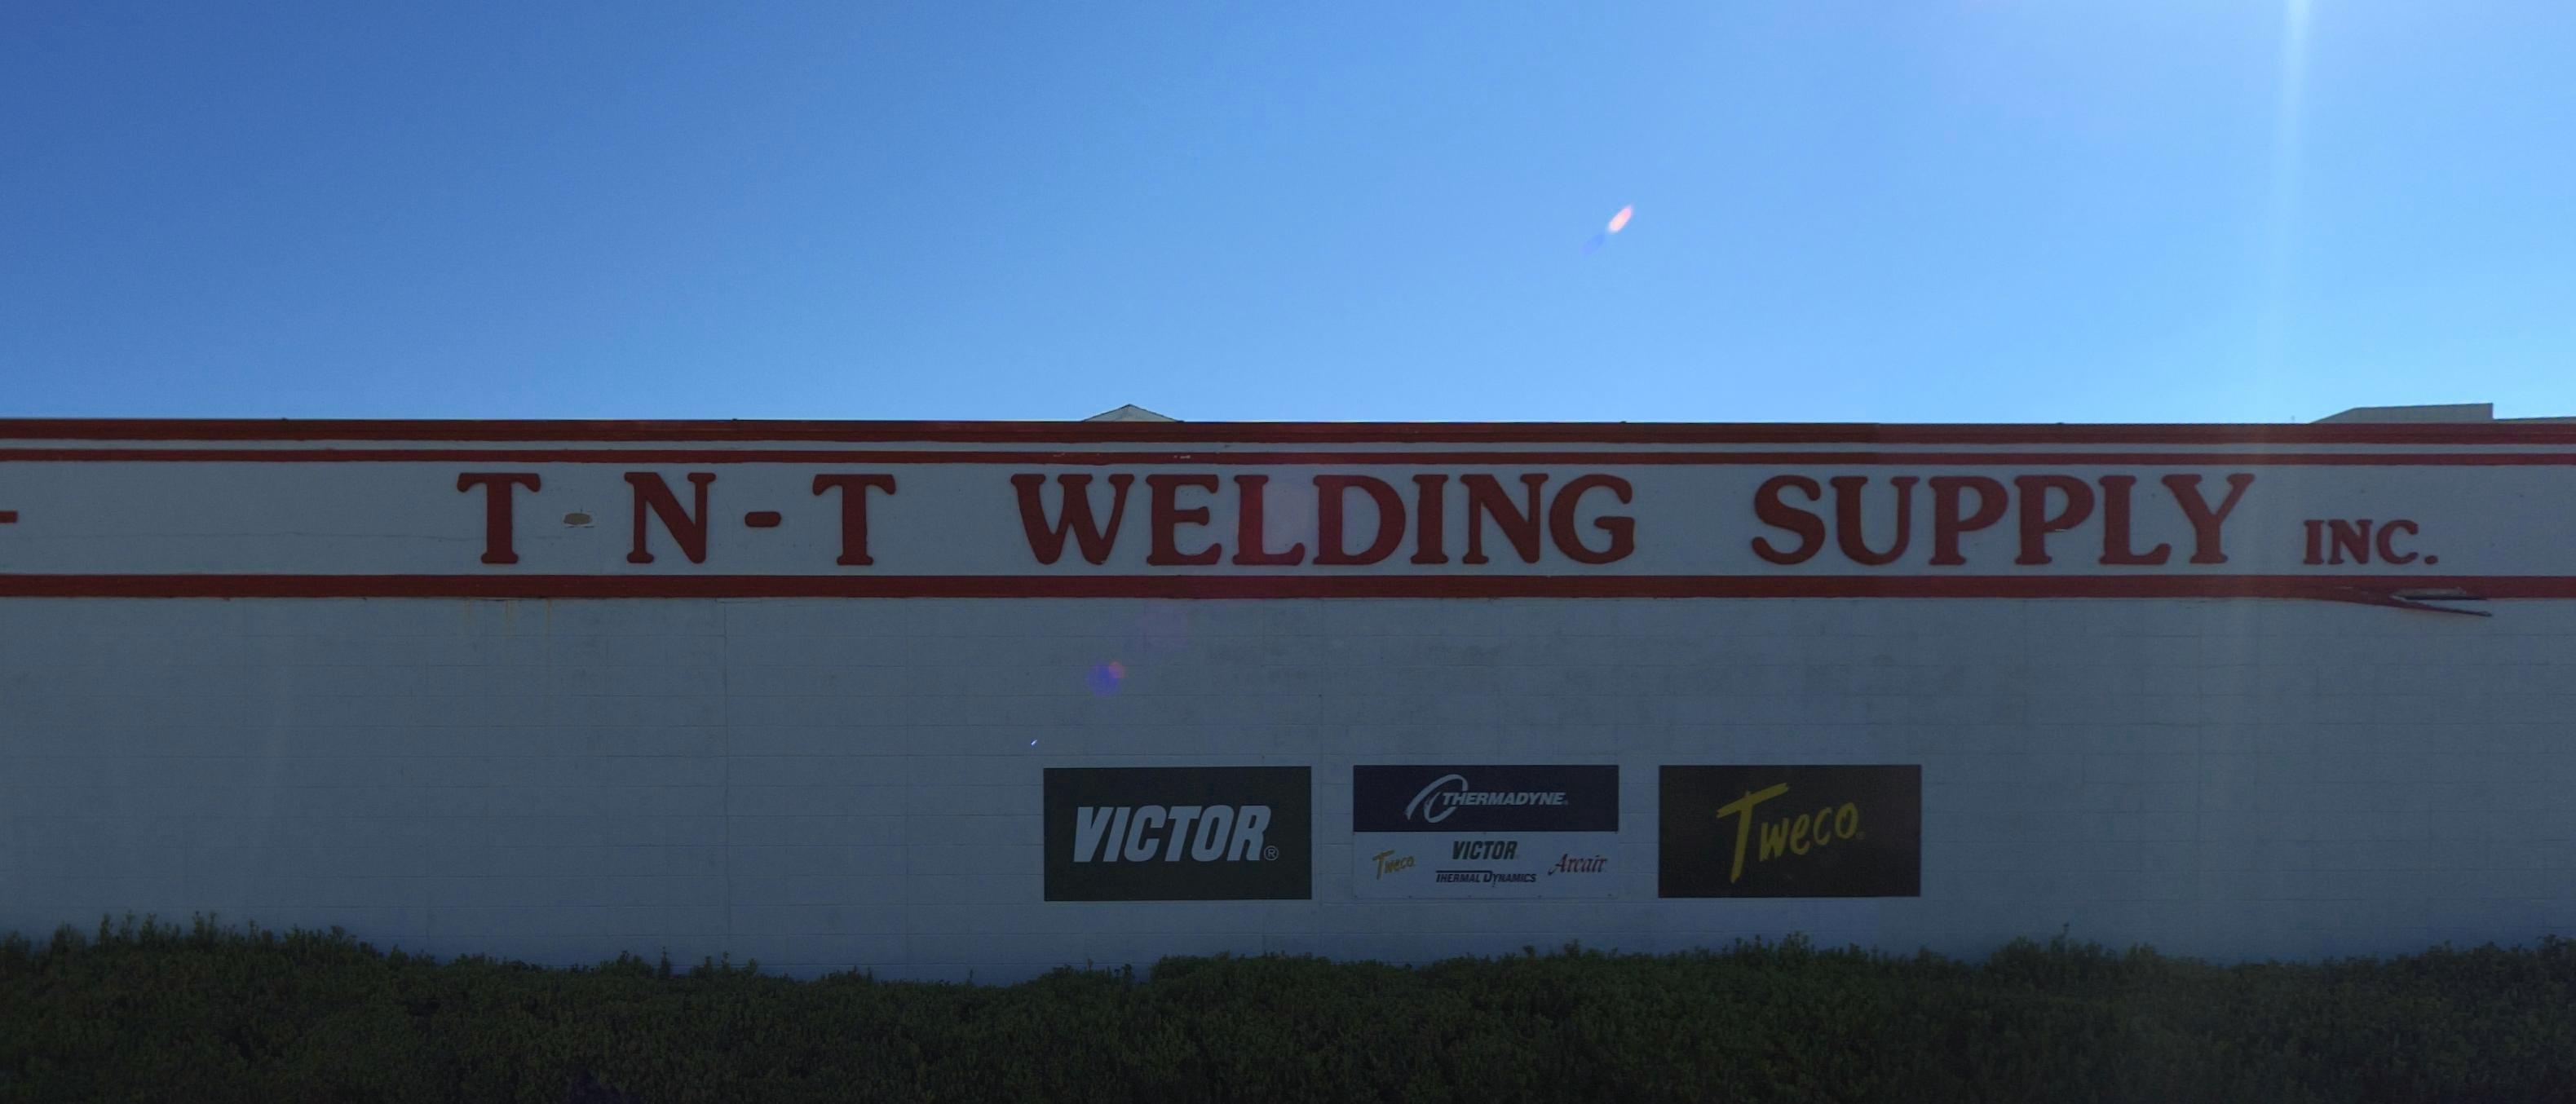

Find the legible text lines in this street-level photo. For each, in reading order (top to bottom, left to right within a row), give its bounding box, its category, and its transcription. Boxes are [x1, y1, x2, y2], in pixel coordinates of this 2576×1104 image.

[452, 470, 2443, 568] BusinessName: T-N-T WELDING SUPPLY INC.
[1438, 790, 1569, 807] None: THERMADYNE
[1070, 802, 1275, 864] None: VICTOR
[1712, 779, 1863, 888] None: Tweco
[1266, 846, 1277, 859] None: R
[1369, 846, 1420, 883] None: T**co
[1450, 837, 1521, 862] None: VICTOR
[1433, 868, 1539, 885] None: THERMAL DYNAMICS
[1546, 851, 1611, 877] None: Arcair